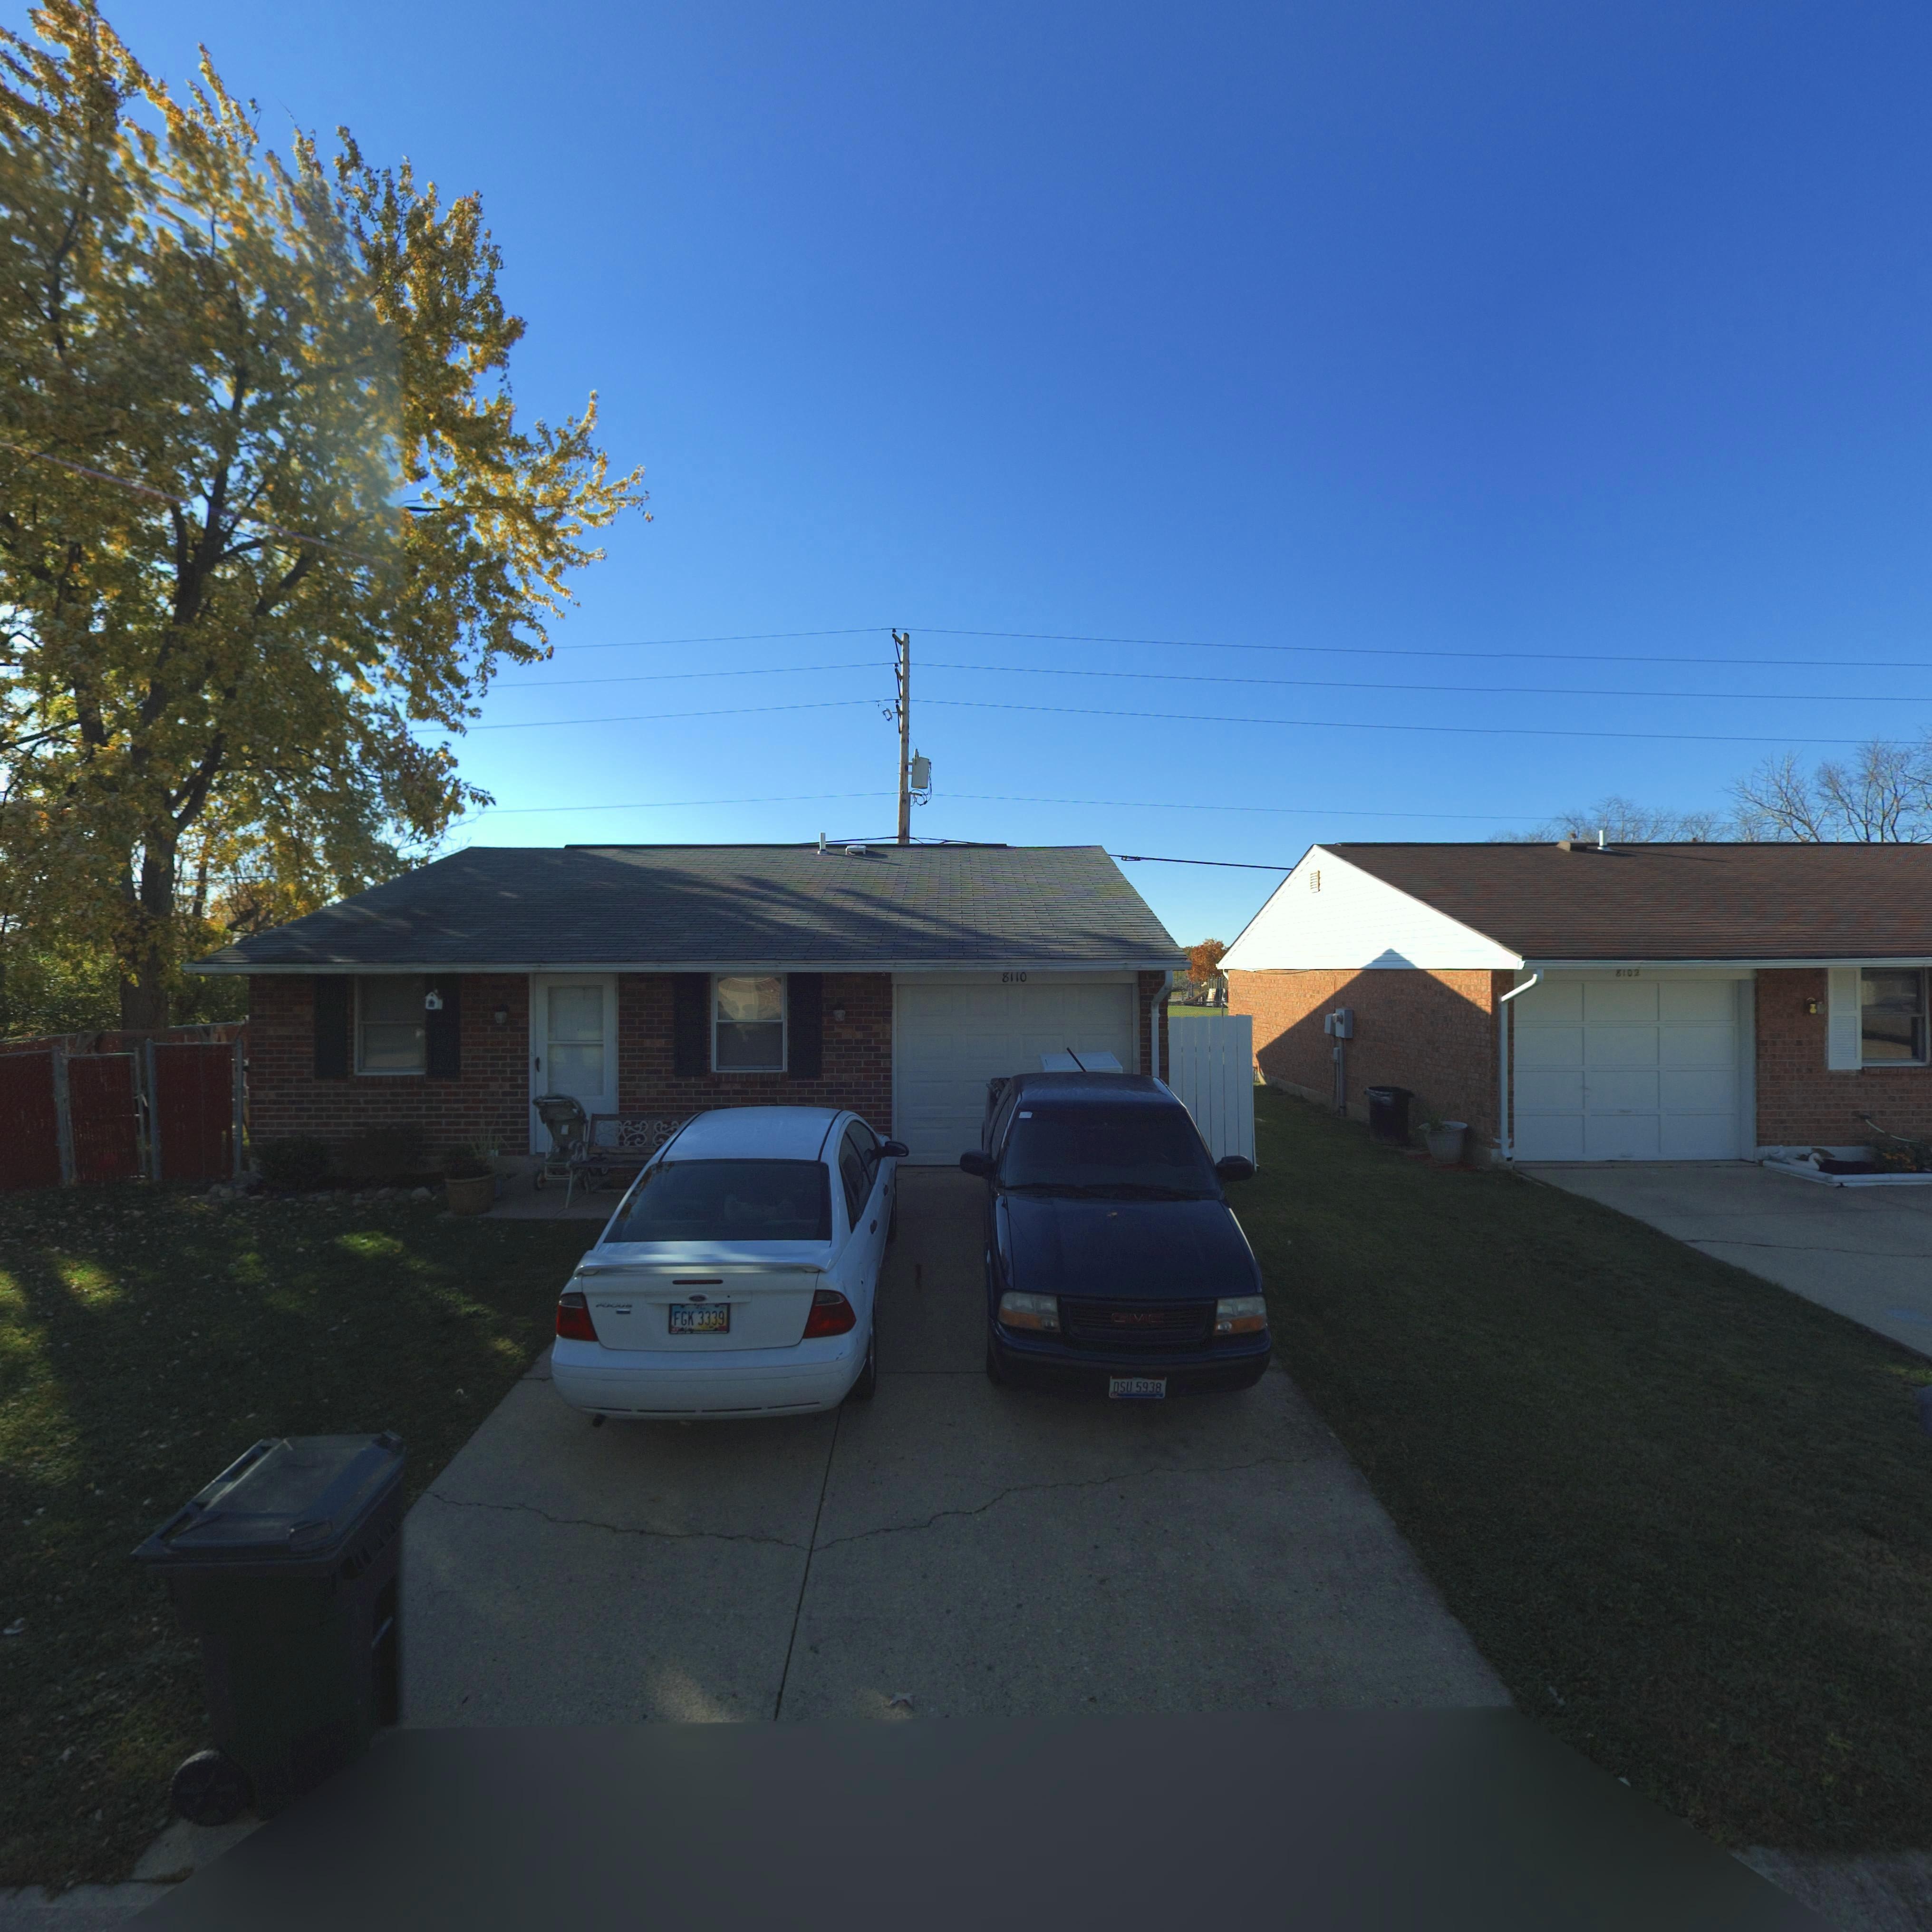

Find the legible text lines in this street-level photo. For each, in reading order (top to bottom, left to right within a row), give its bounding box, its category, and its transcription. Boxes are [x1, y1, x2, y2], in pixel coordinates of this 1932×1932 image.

[1001, 971, 1028, 984] StreetNumber: 8110
[1614, 968, 1642, 979] StreetNumber: 8102